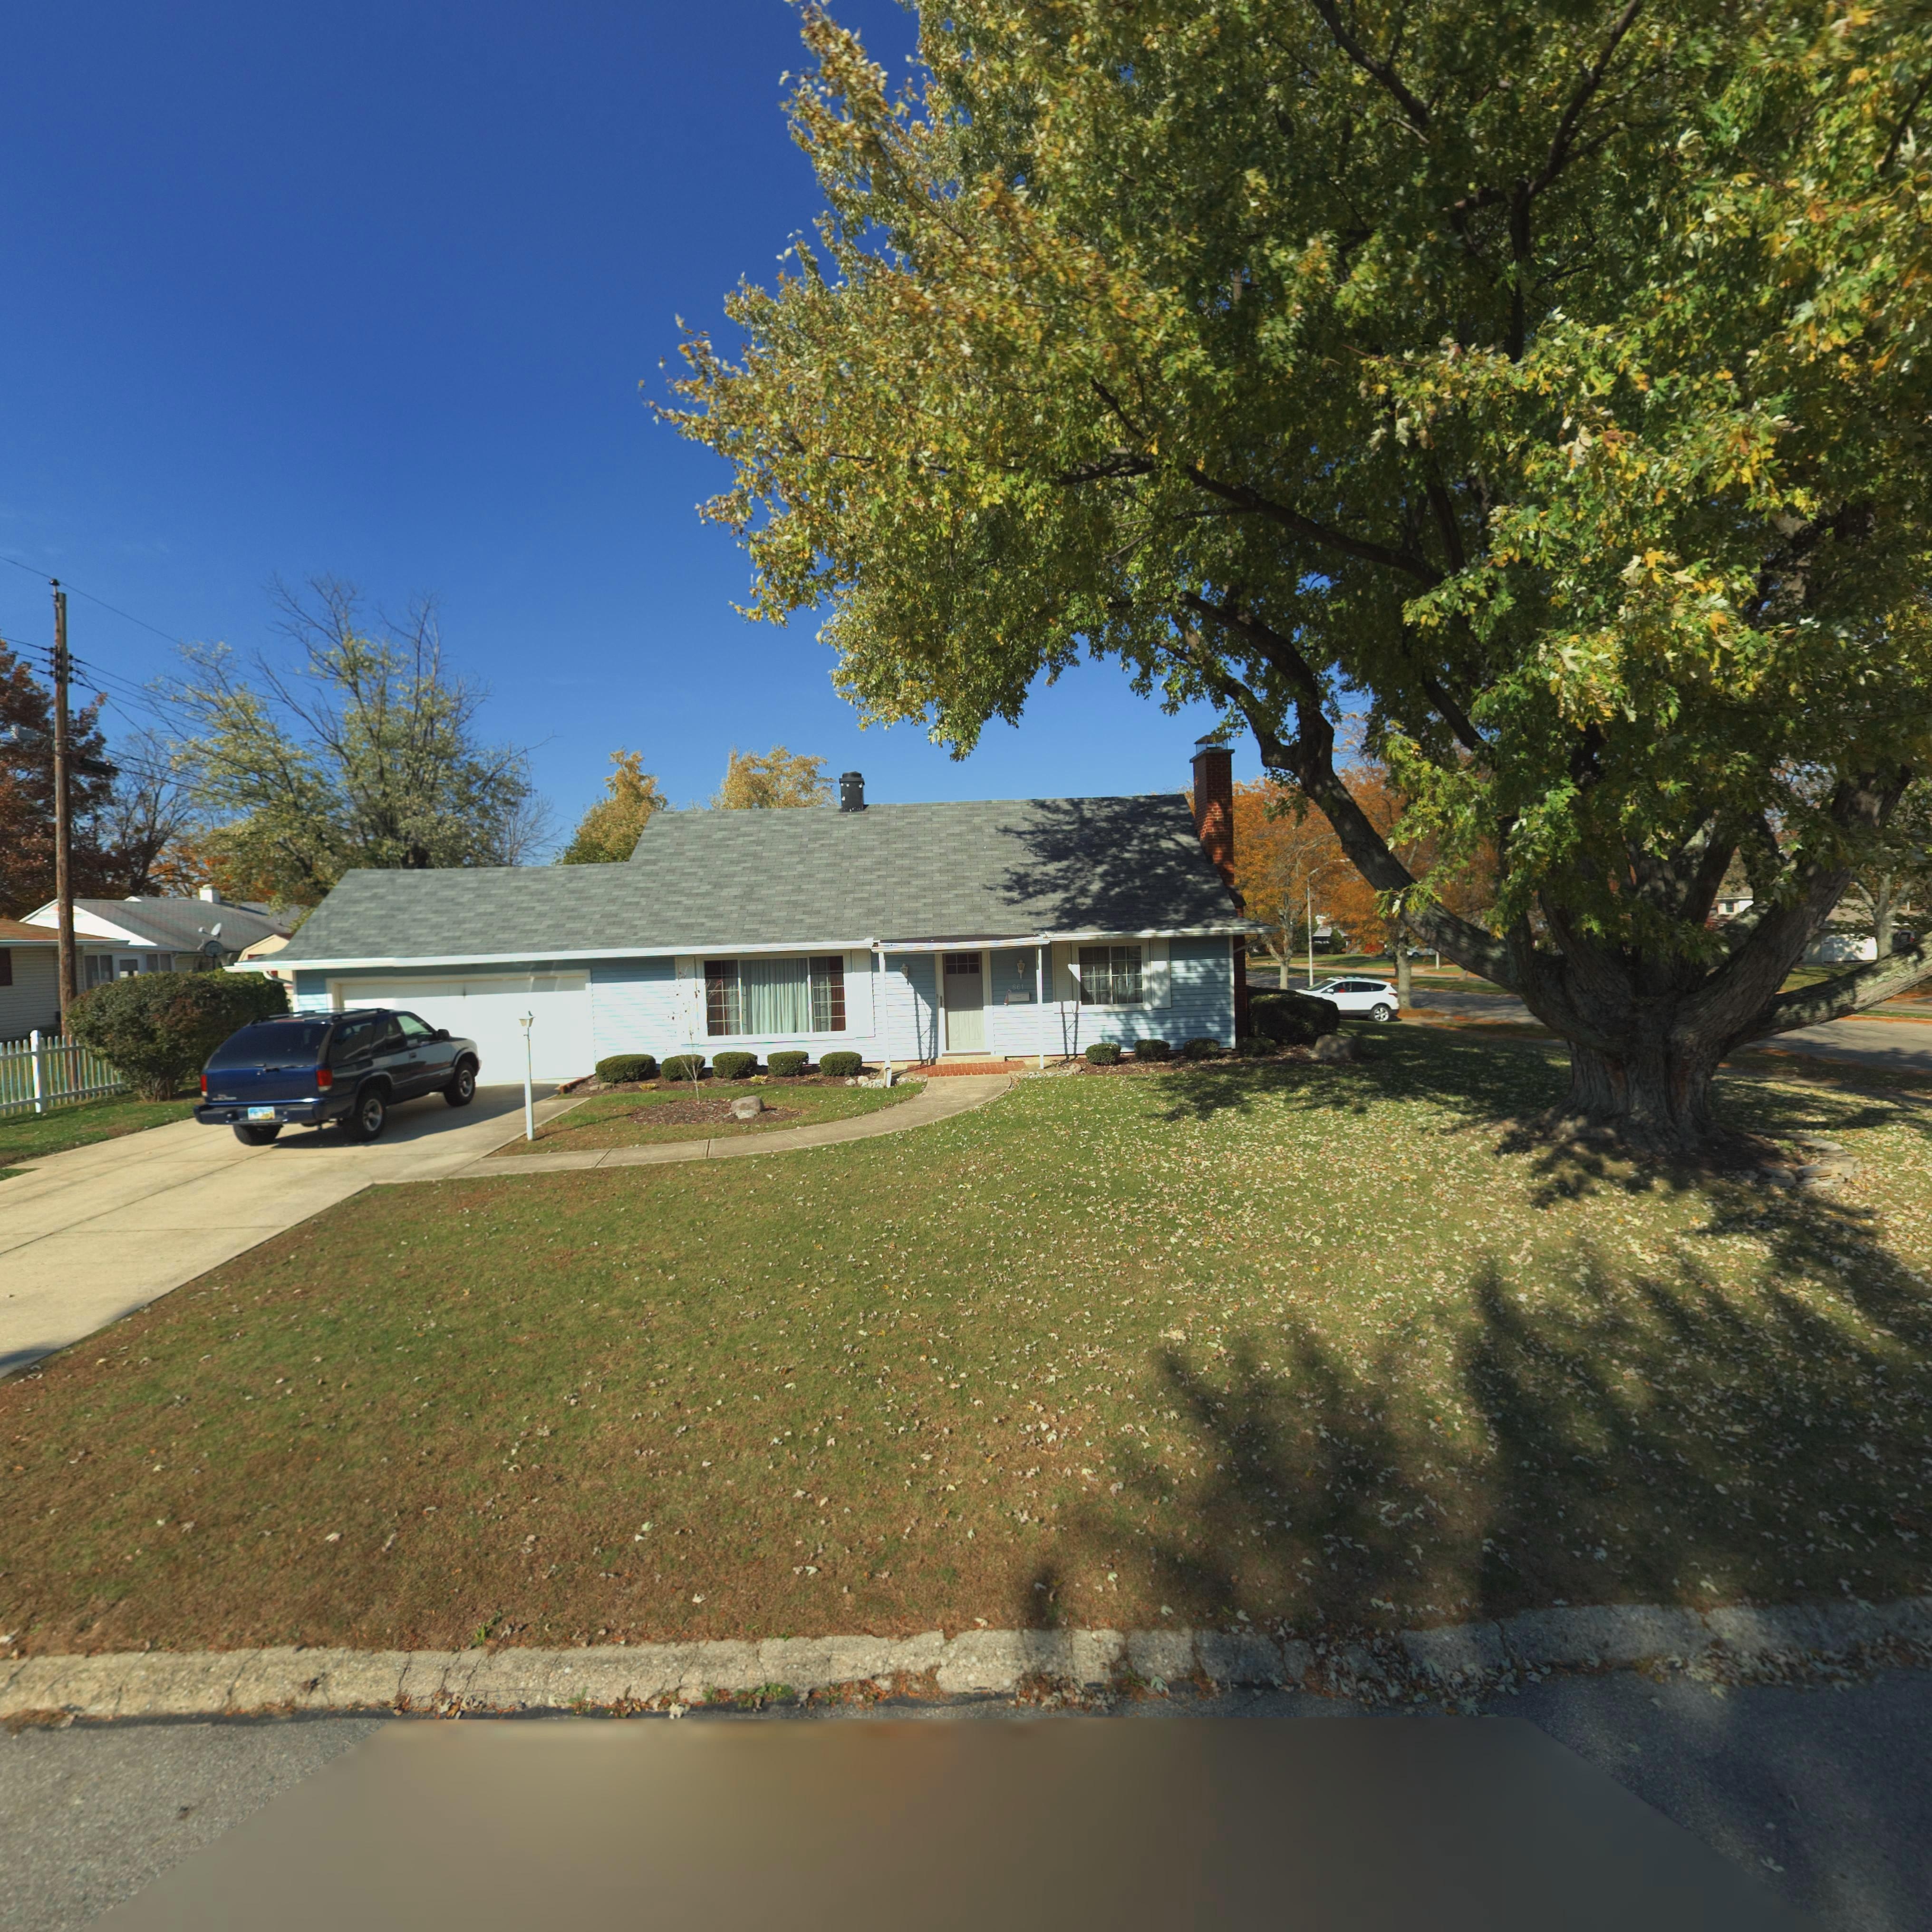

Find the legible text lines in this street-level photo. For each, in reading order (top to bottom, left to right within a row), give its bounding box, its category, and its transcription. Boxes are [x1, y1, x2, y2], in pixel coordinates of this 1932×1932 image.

[1012, 983, 1024, 991] StreetNumber: 861